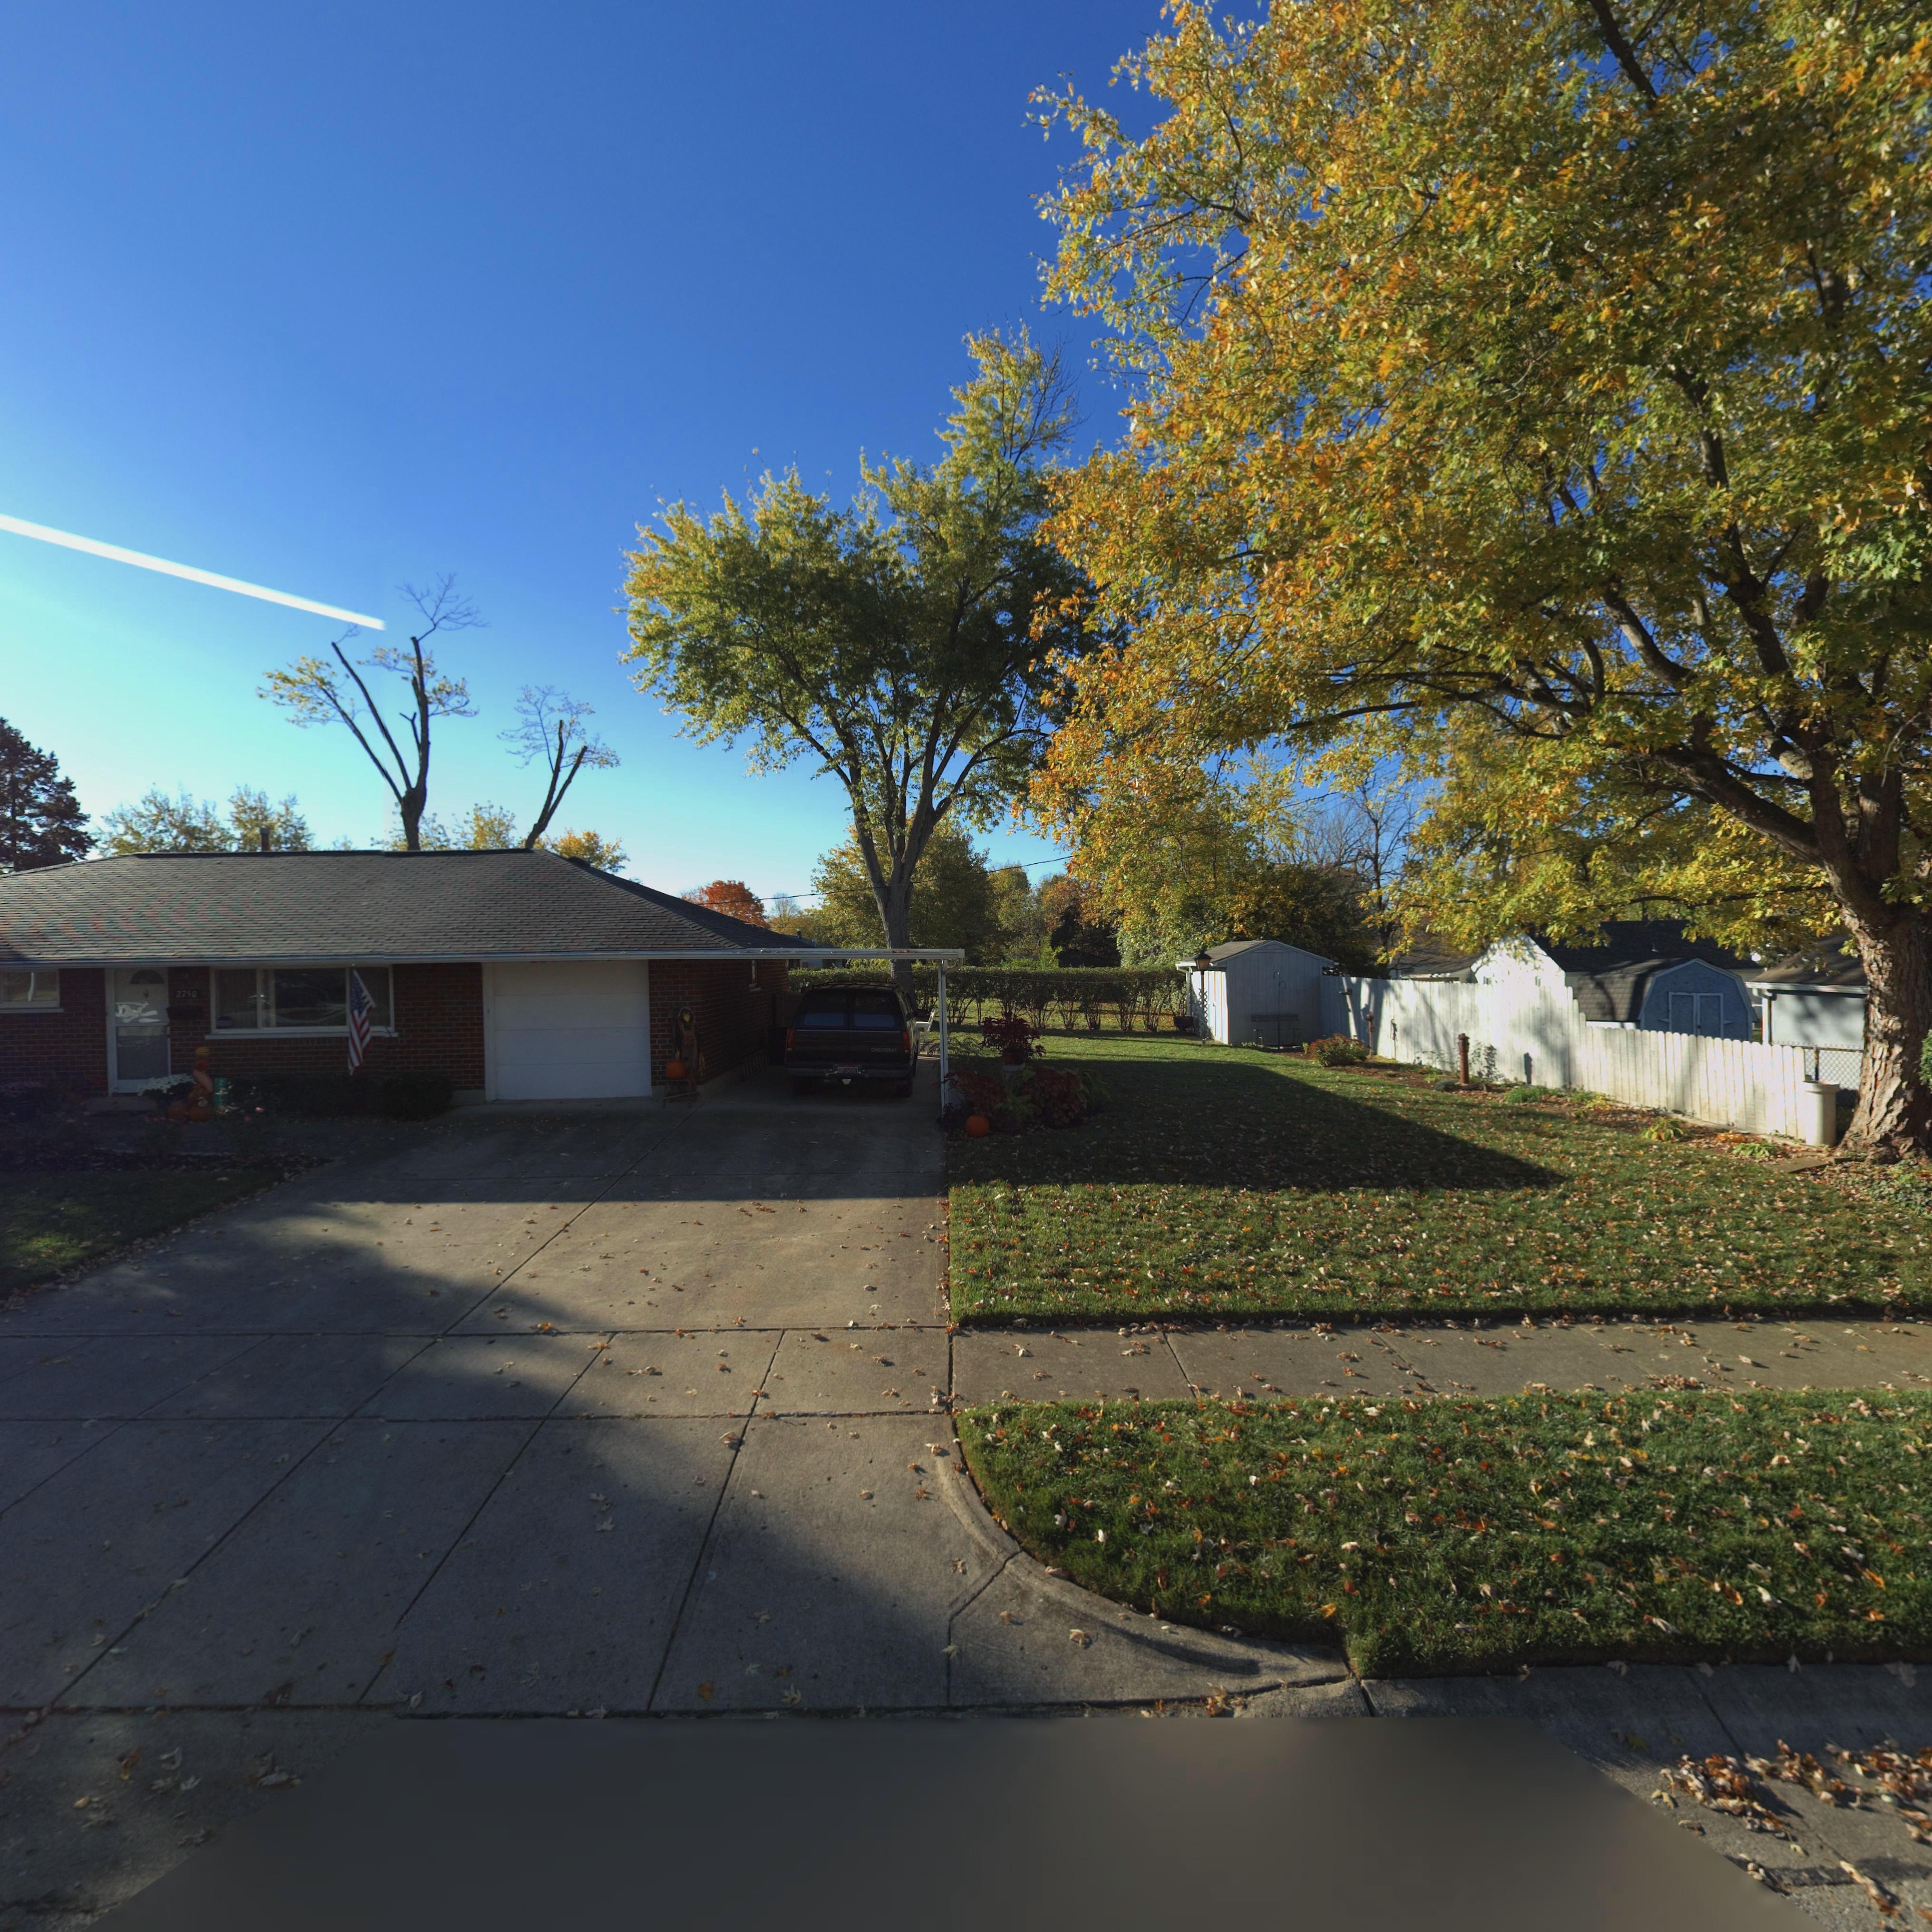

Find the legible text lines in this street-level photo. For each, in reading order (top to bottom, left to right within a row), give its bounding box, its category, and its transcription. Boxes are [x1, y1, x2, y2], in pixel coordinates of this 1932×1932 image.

[175, 989, 198, 999] StreetNumber: 2750